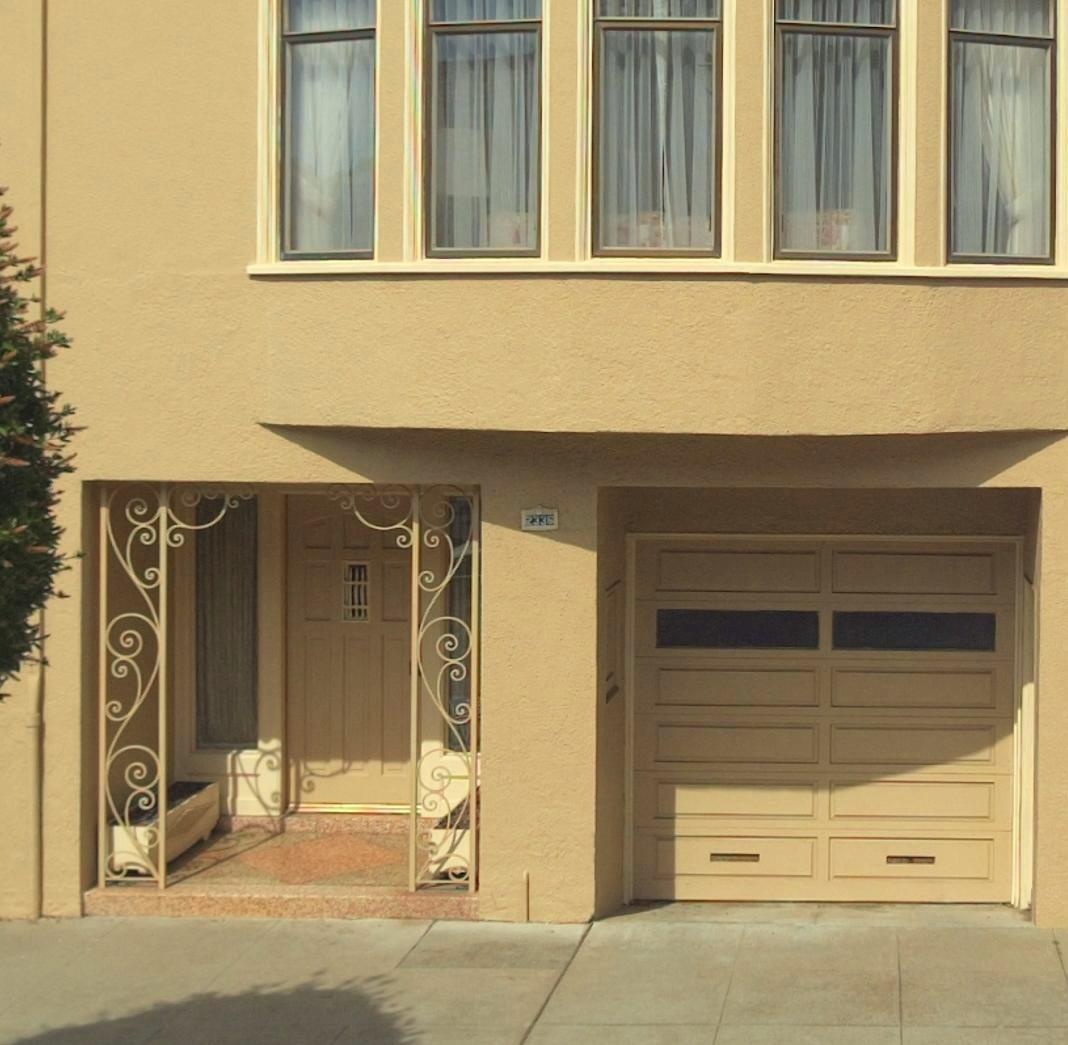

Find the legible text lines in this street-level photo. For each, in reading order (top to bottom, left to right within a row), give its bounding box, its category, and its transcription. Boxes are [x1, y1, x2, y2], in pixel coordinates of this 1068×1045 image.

[524, 513, 556, 527] StreetNumber: 2336